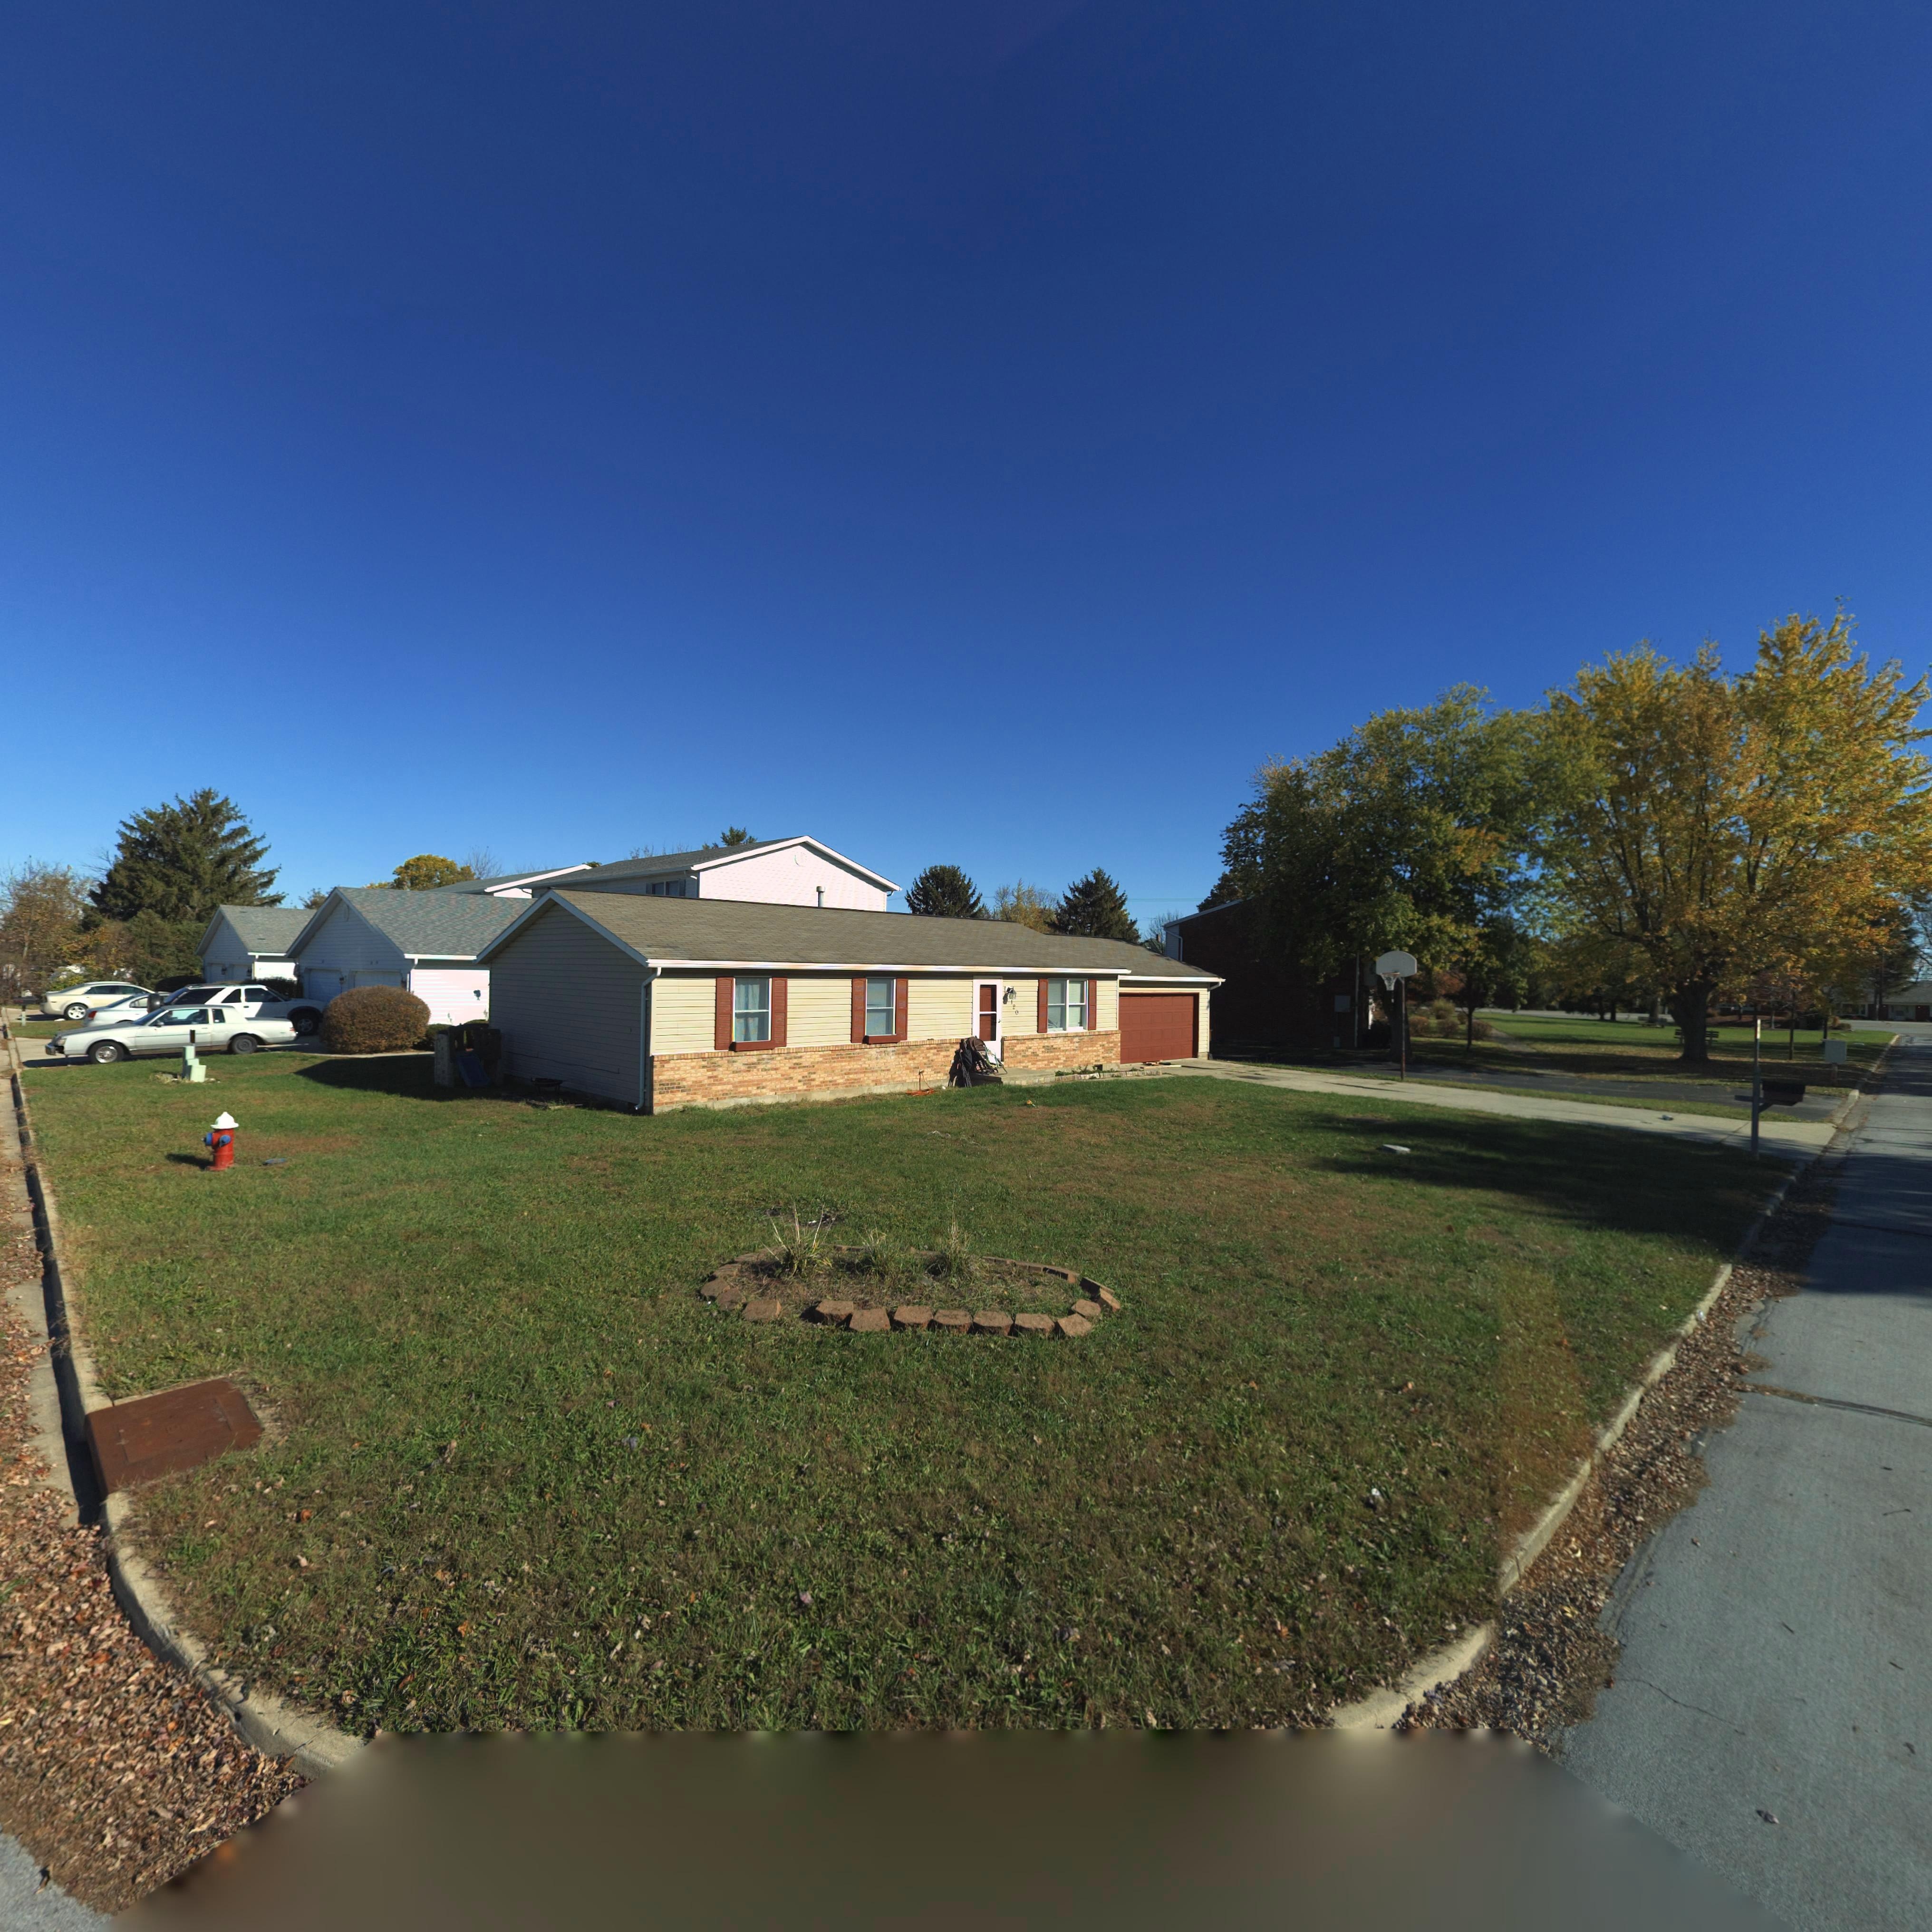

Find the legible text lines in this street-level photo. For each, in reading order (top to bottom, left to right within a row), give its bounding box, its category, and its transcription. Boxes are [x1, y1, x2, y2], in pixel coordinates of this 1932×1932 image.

[1010, 999, 1019, 1015] StreetNumber: 120